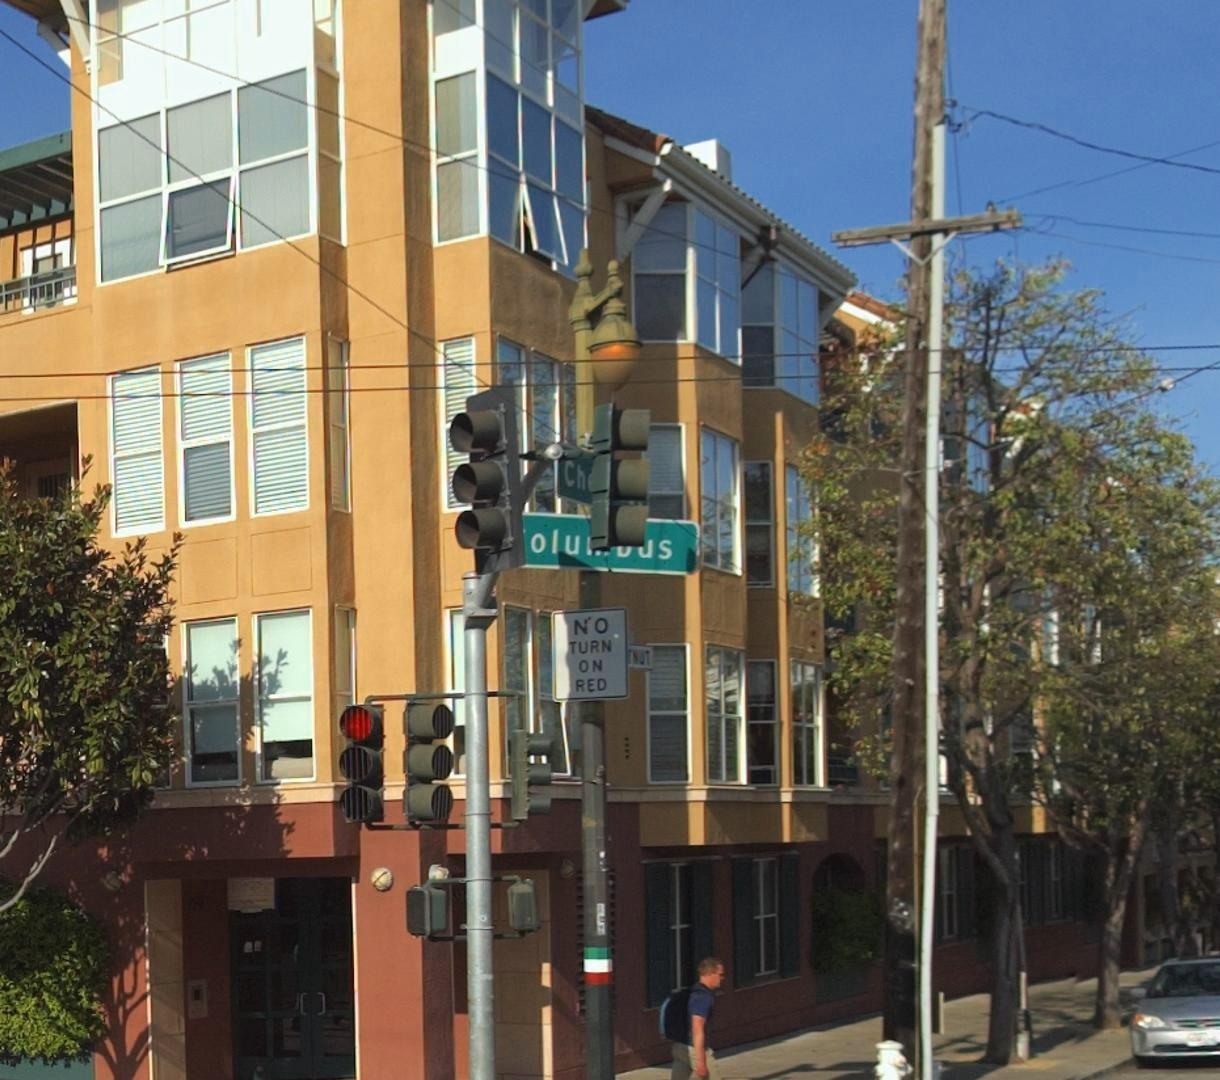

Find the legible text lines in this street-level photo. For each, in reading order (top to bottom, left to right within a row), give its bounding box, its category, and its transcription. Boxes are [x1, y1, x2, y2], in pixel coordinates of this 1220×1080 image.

[561, 457, 588, 492] StreetName: Ch
[528, 526, 583, 558] StreetName: olu
[655, 536, 675, 563] StreetName: S
[571, 614, 611, 638] None: NO
[575, 657, 604, 676] None: ON
[566, 638, 614, 657] None: TURN
[630, 648, 652, 667] StreetName: NUT
[573, 676, 609, 695] None: RED